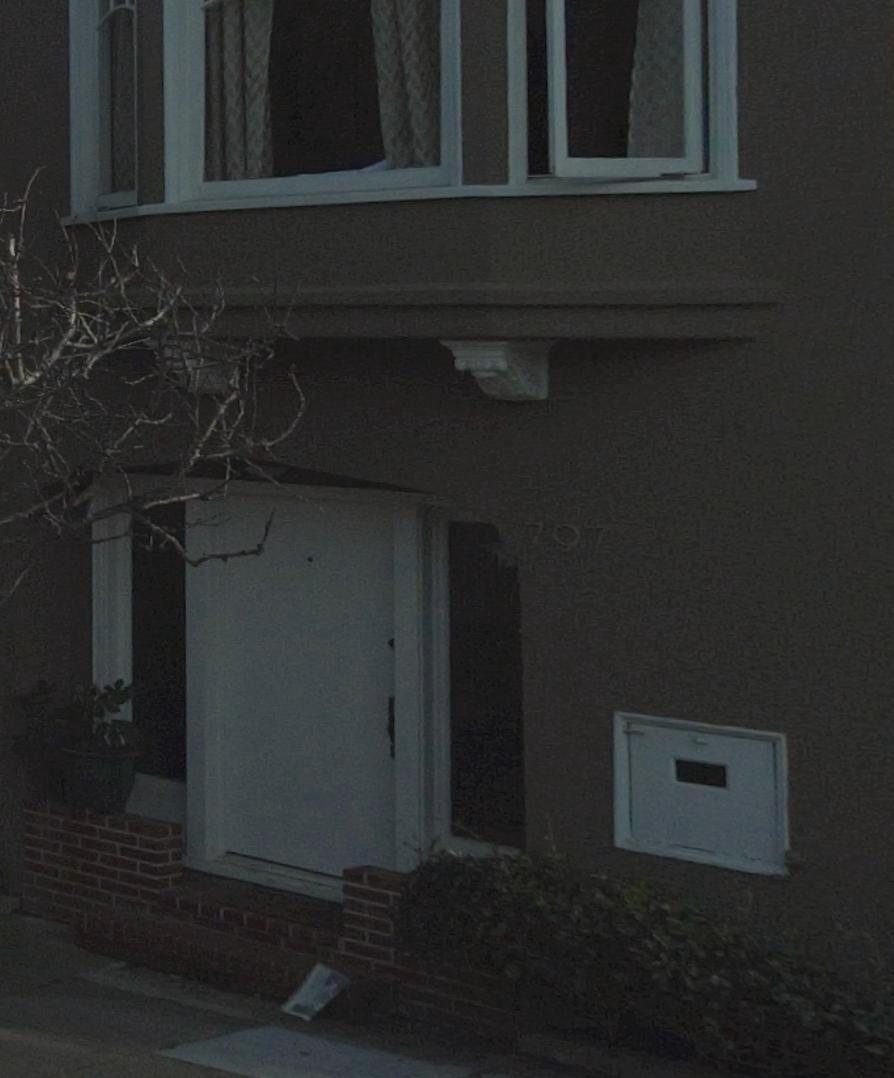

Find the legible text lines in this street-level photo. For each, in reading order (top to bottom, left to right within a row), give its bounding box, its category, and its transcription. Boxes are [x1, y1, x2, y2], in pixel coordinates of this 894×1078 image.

[521, 518, 608, 556] StreetNumber: 797